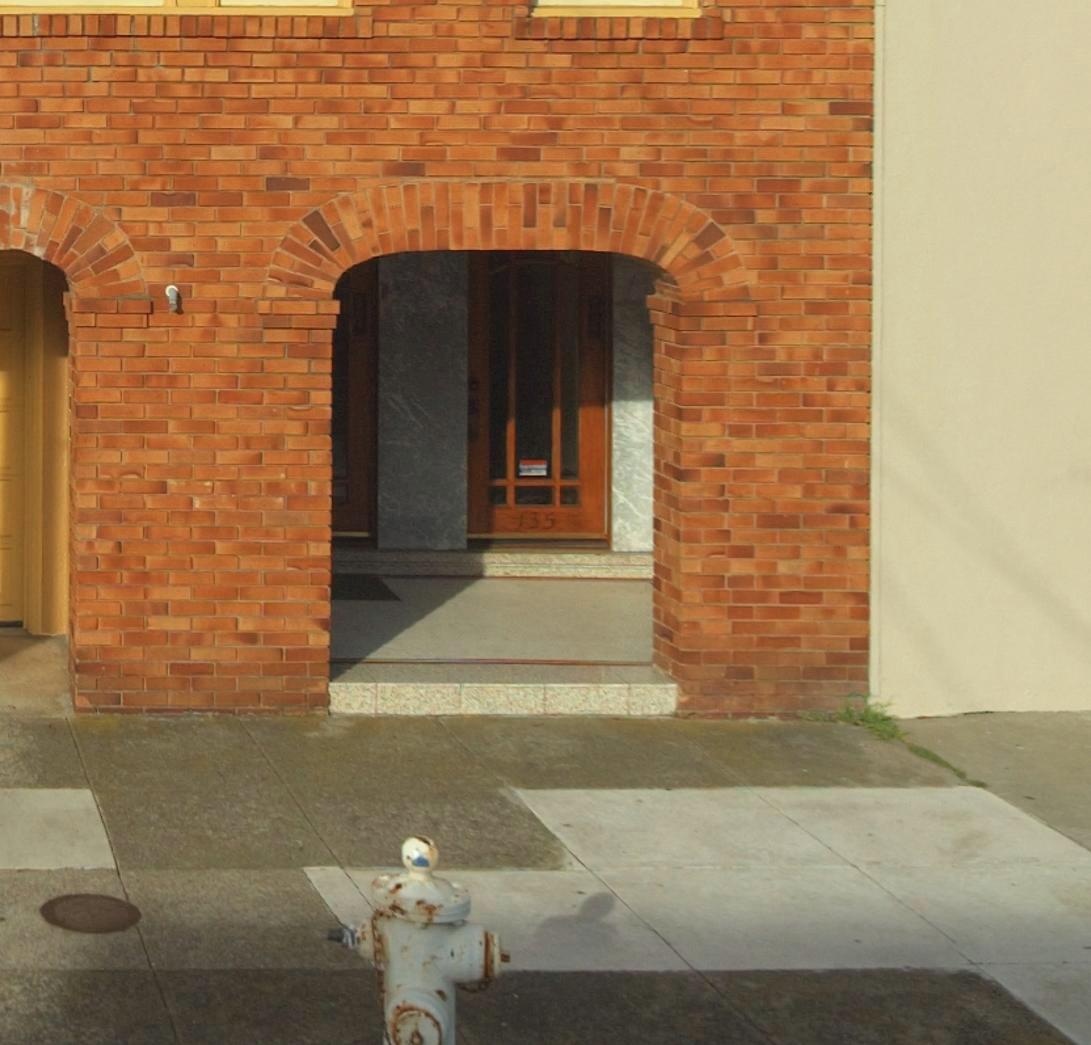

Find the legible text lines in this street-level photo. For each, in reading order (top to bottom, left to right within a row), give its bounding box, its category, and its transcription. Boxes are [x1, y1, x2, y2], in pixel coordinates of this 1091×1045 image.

[516, 509, 557, 531] StreetNumber: 135